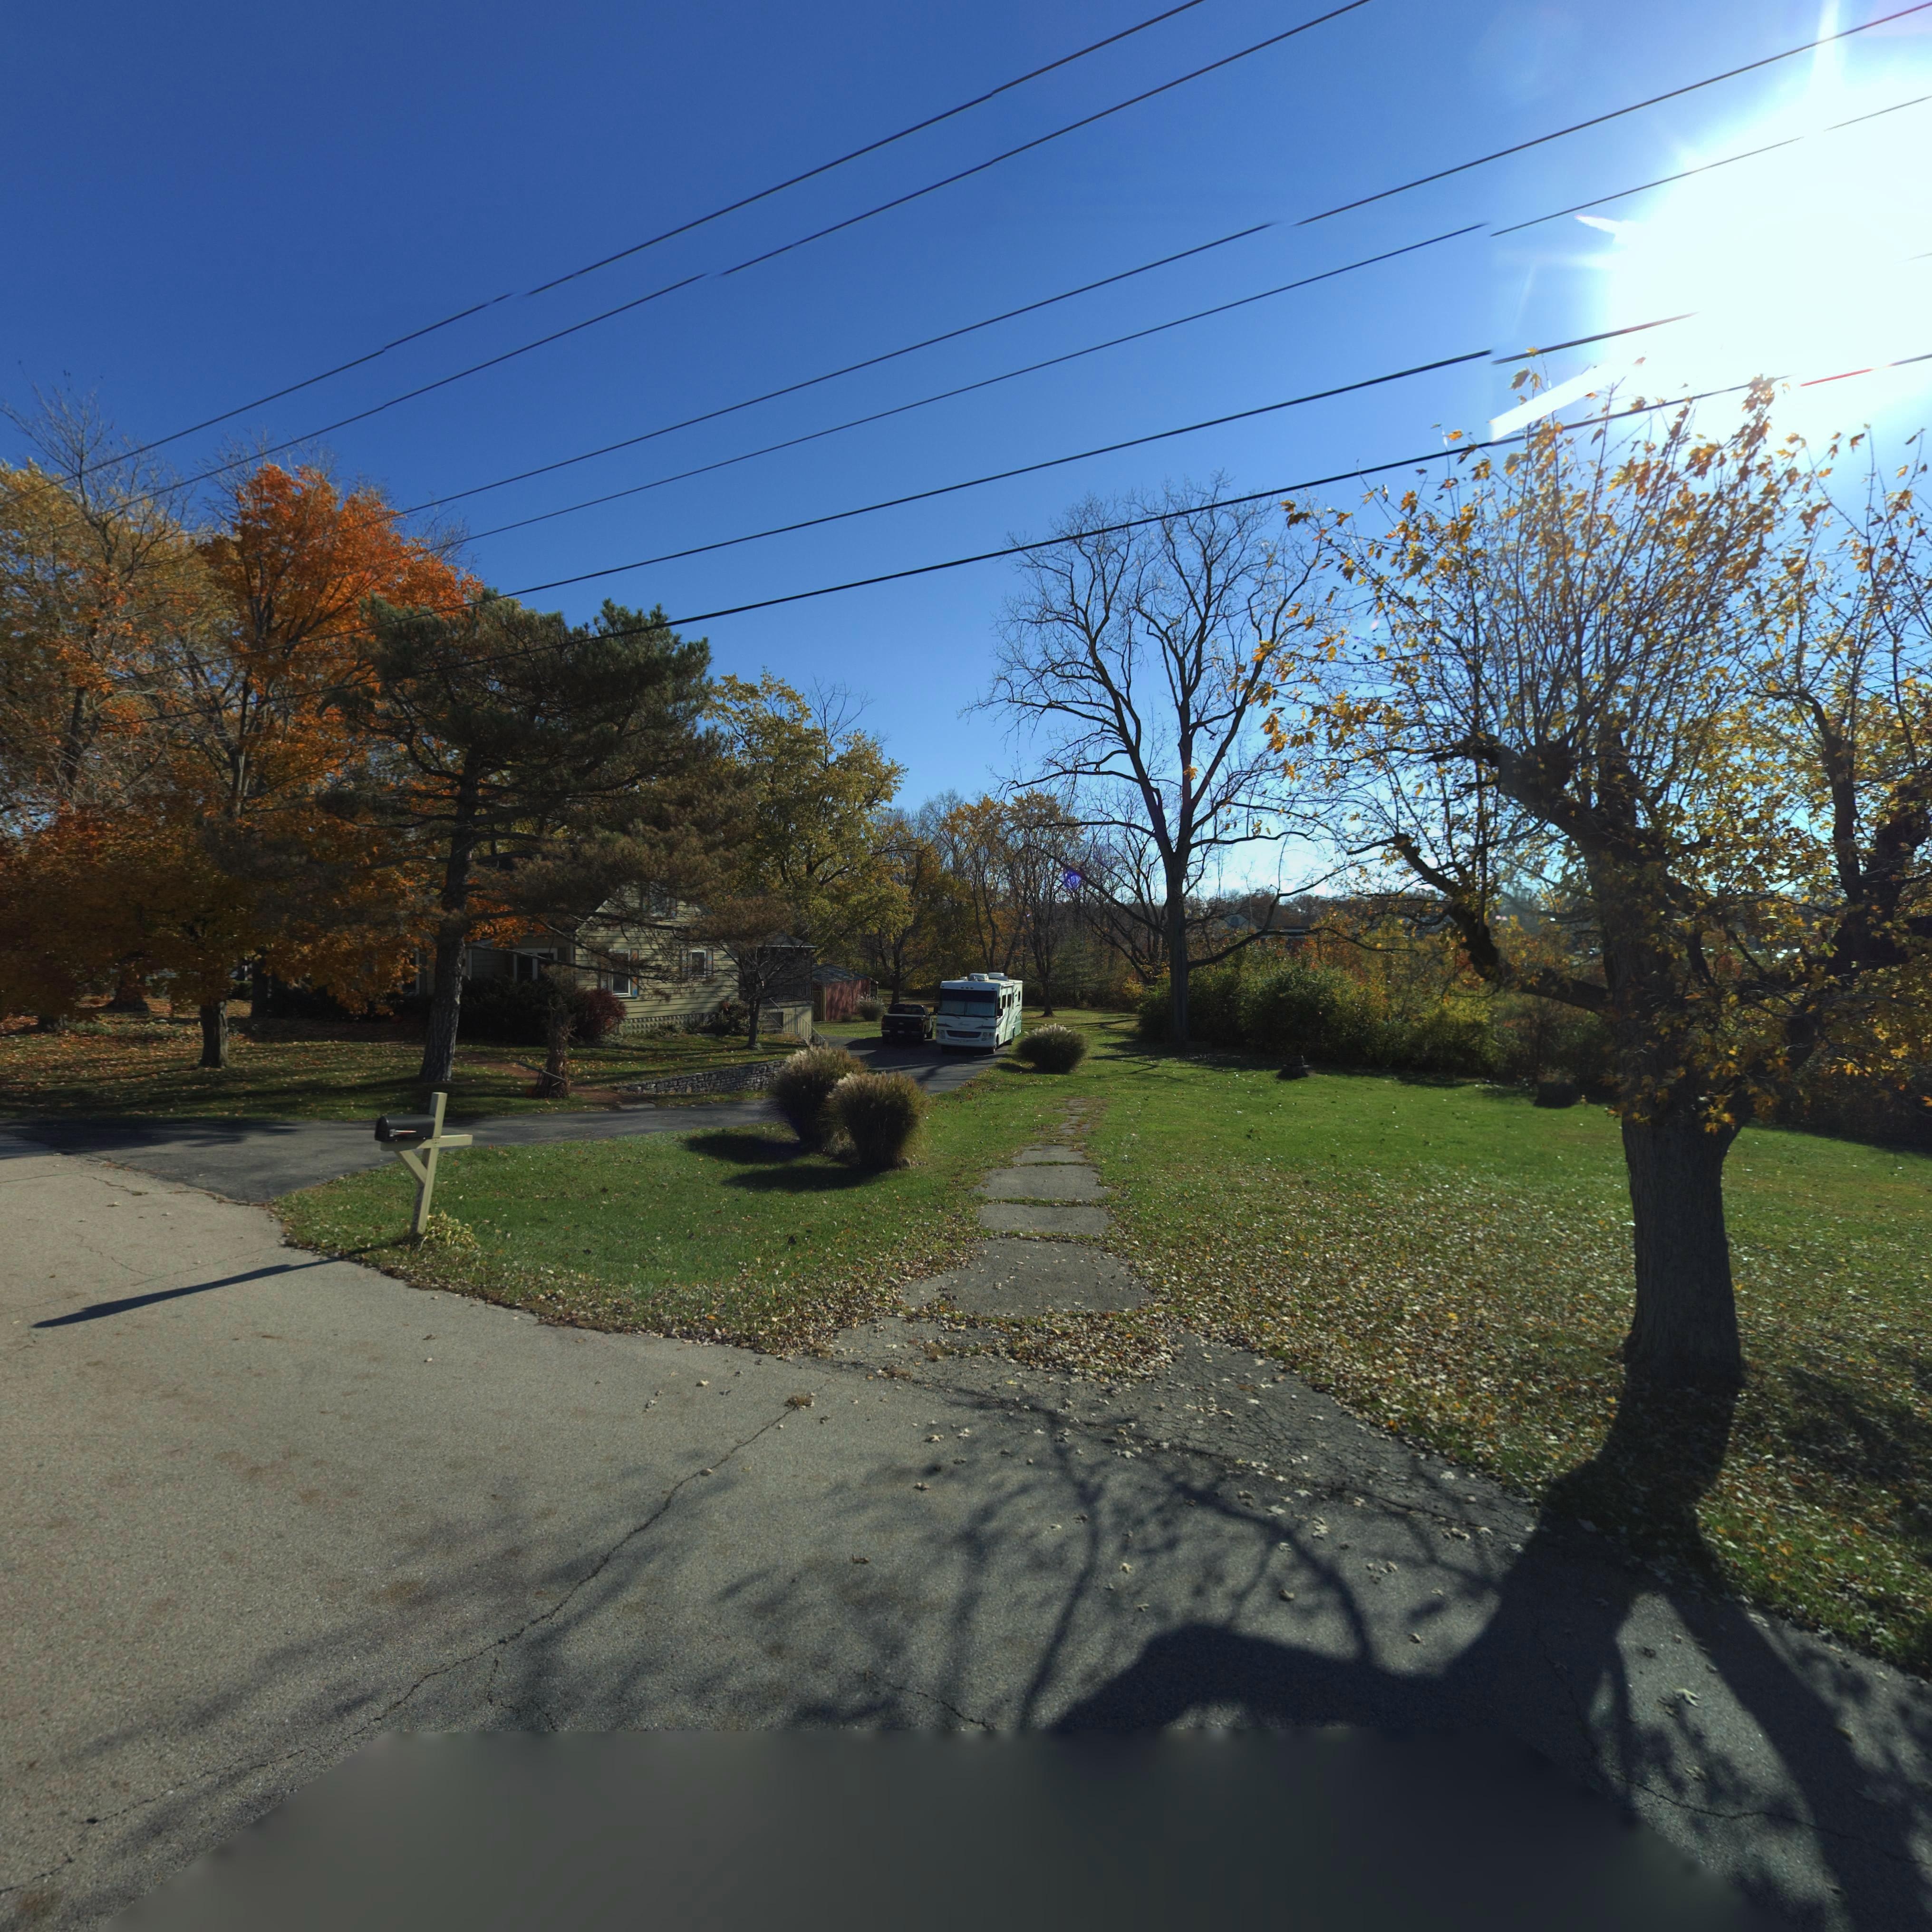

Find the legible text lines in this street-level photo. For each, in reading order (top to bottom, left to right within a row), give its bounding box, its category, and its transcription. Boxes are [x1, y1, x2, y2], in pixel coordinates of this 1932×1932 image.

[410, 1186, 425, 1226] StreetNumber: 782